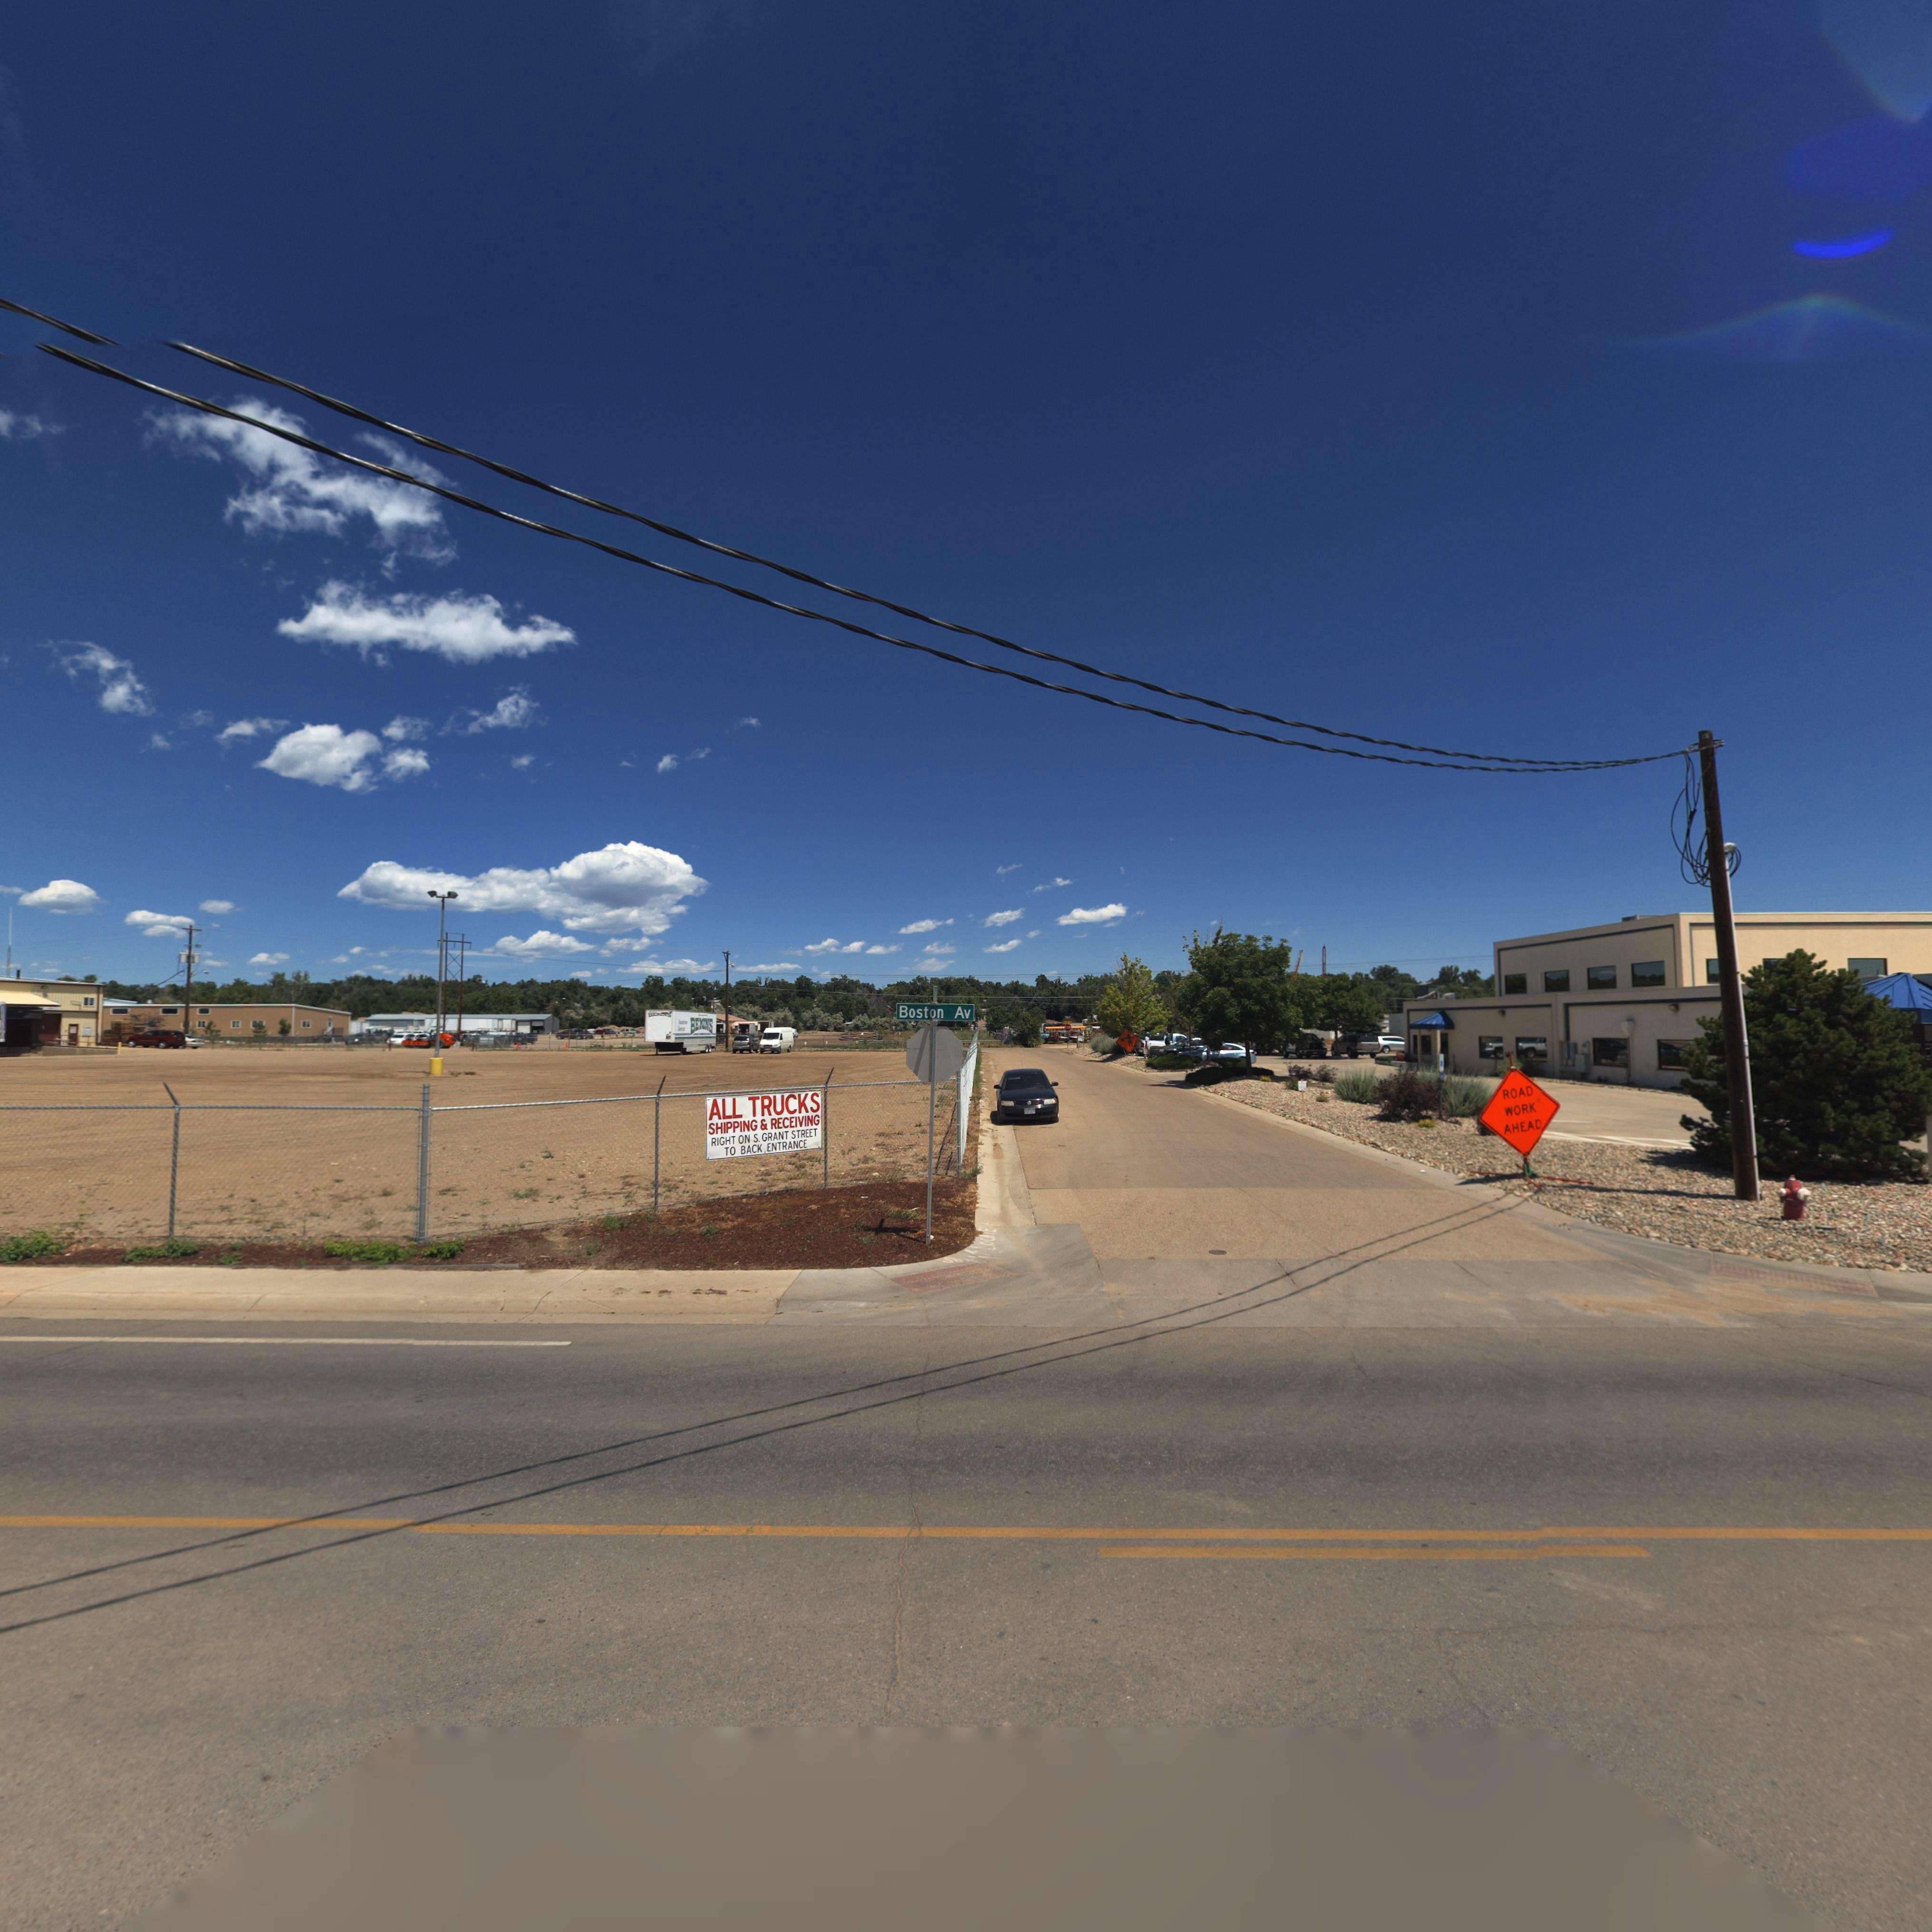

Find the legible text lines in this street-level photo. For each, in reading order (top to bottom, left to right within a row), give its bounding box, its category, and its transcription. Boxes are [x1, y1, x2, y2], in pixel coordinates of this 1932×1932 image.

[899, 1006, 970, 1018] StreetName: Boston Av
[753, 1128, 818, 1143] StreetName: S. GRANT STREET